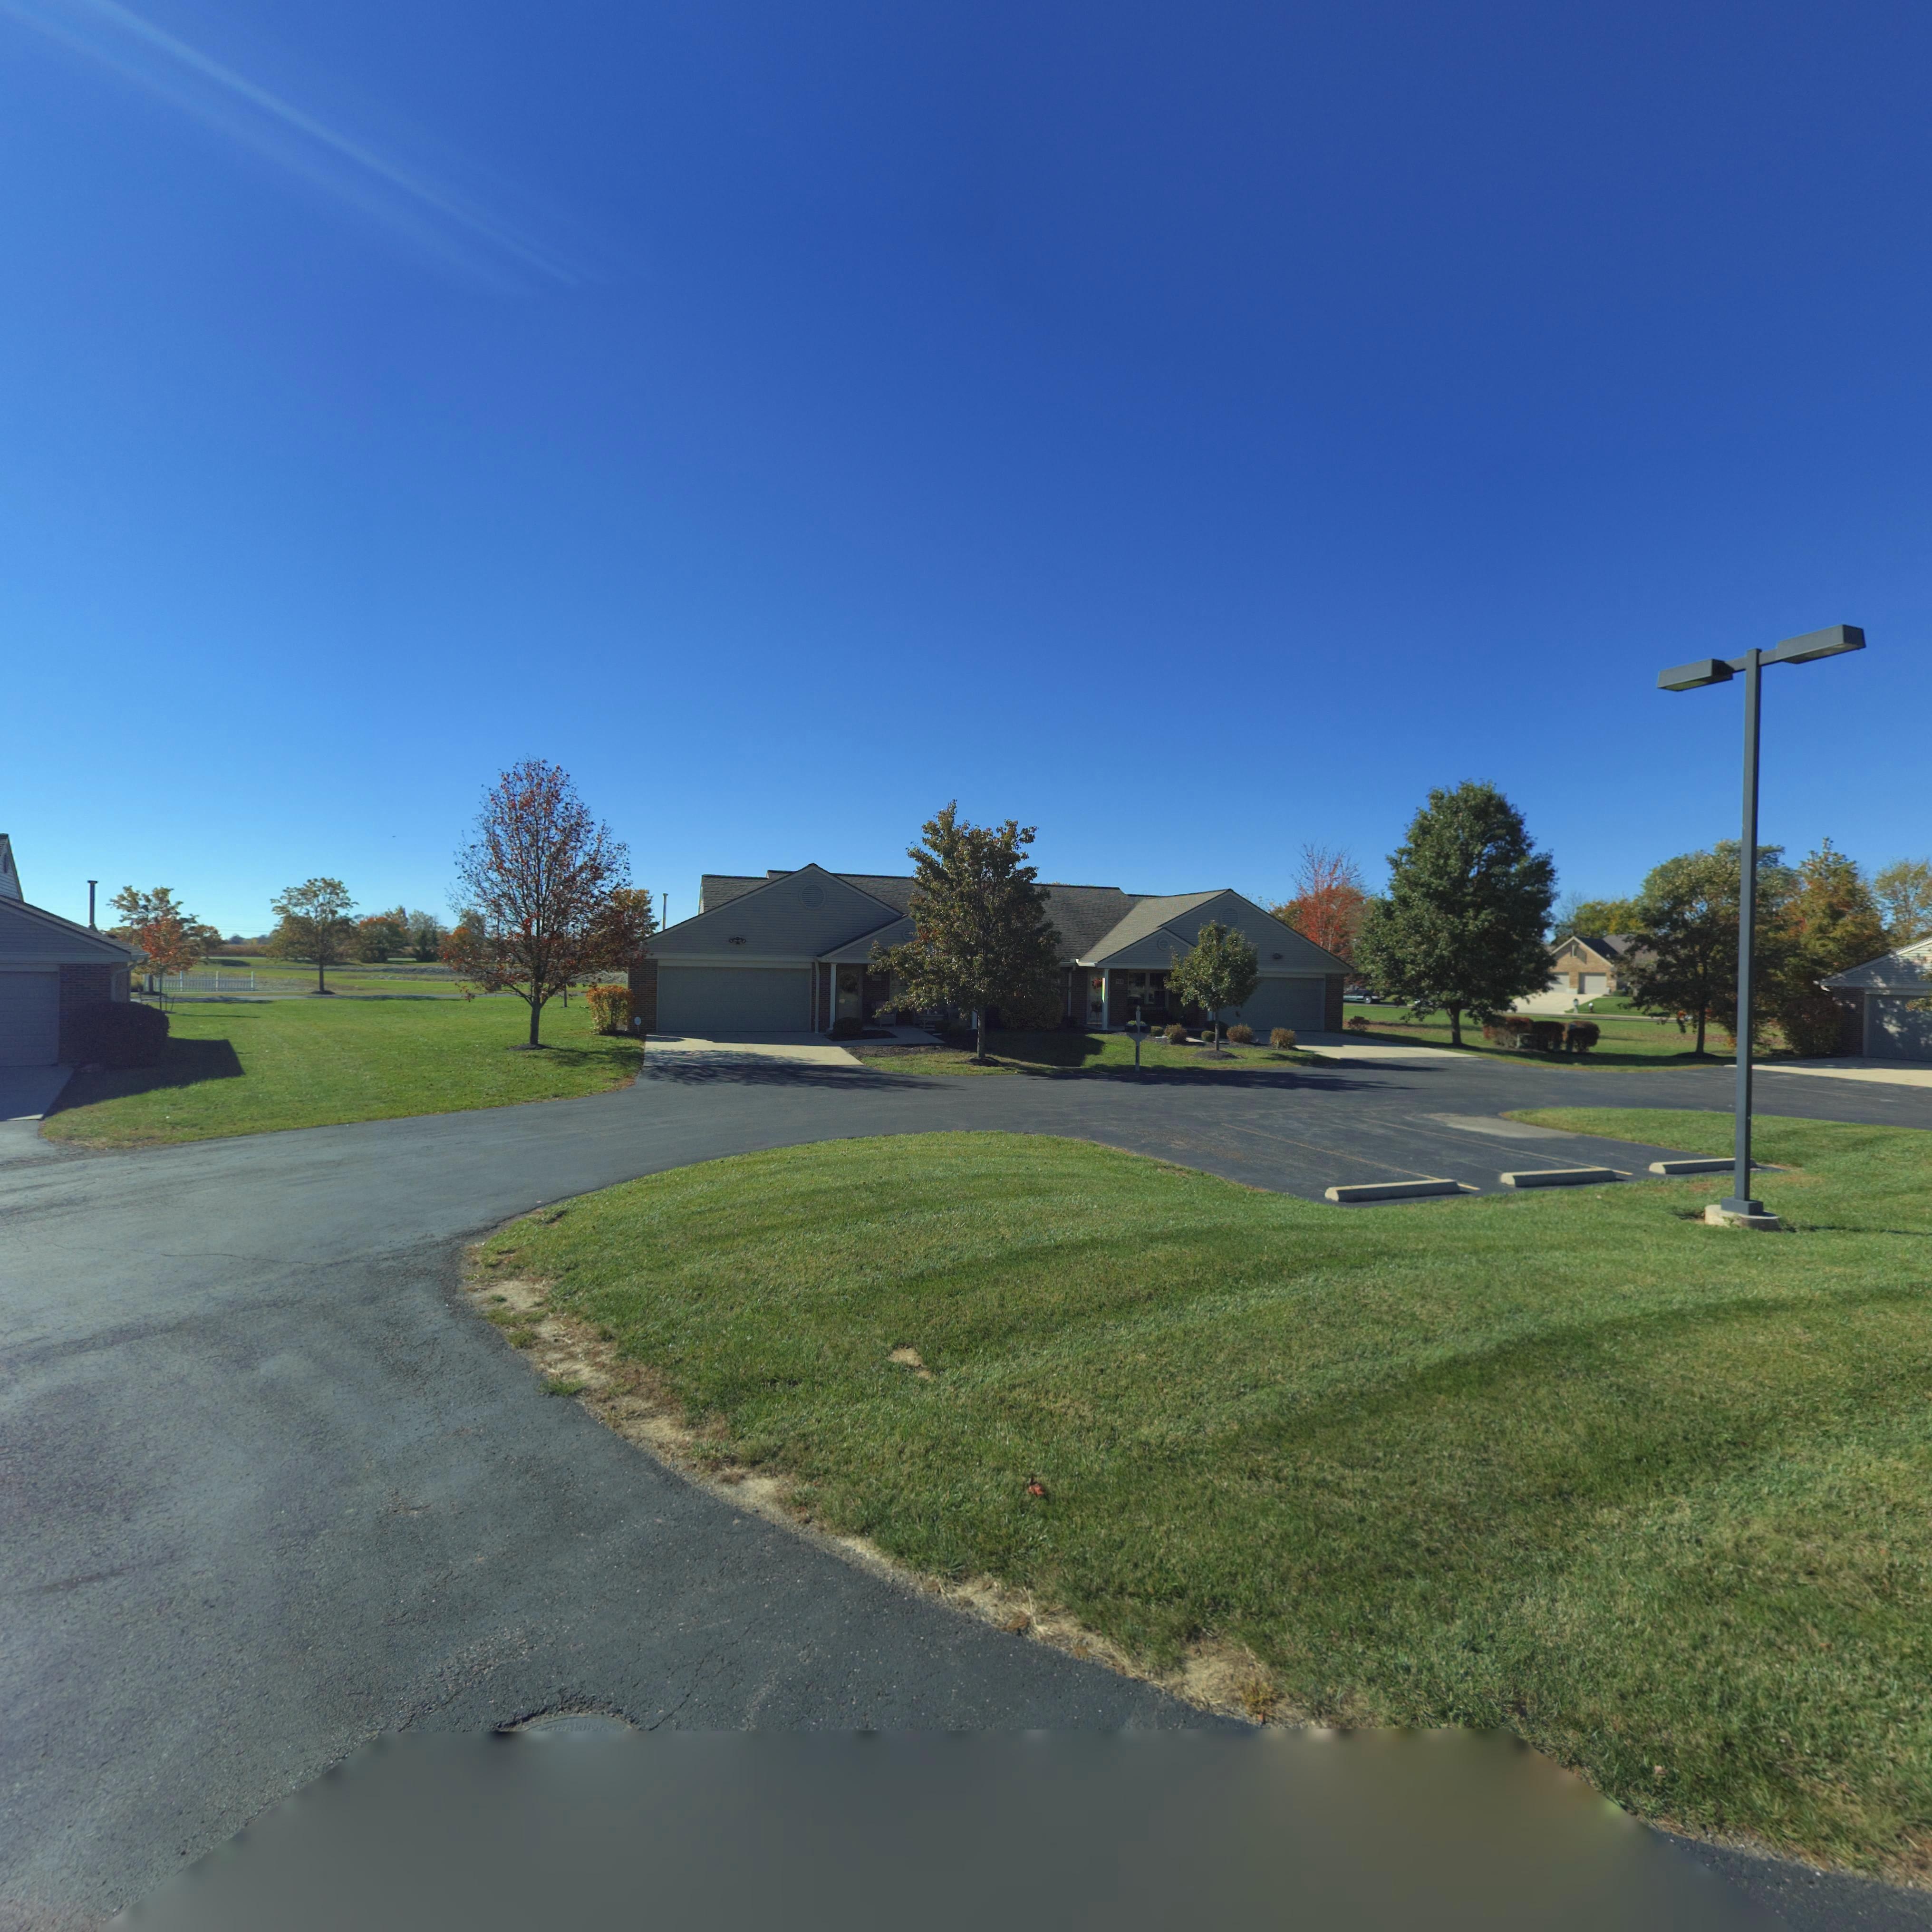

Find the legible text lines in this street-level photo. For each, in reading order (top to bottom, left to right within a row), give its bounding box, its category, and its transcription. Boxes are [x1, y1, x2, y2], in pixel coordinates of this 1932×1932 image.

[872, 976, 881, 980] StreetNumber: 7*0
[1116, 980, 1123, 984] StreetNumber: 718